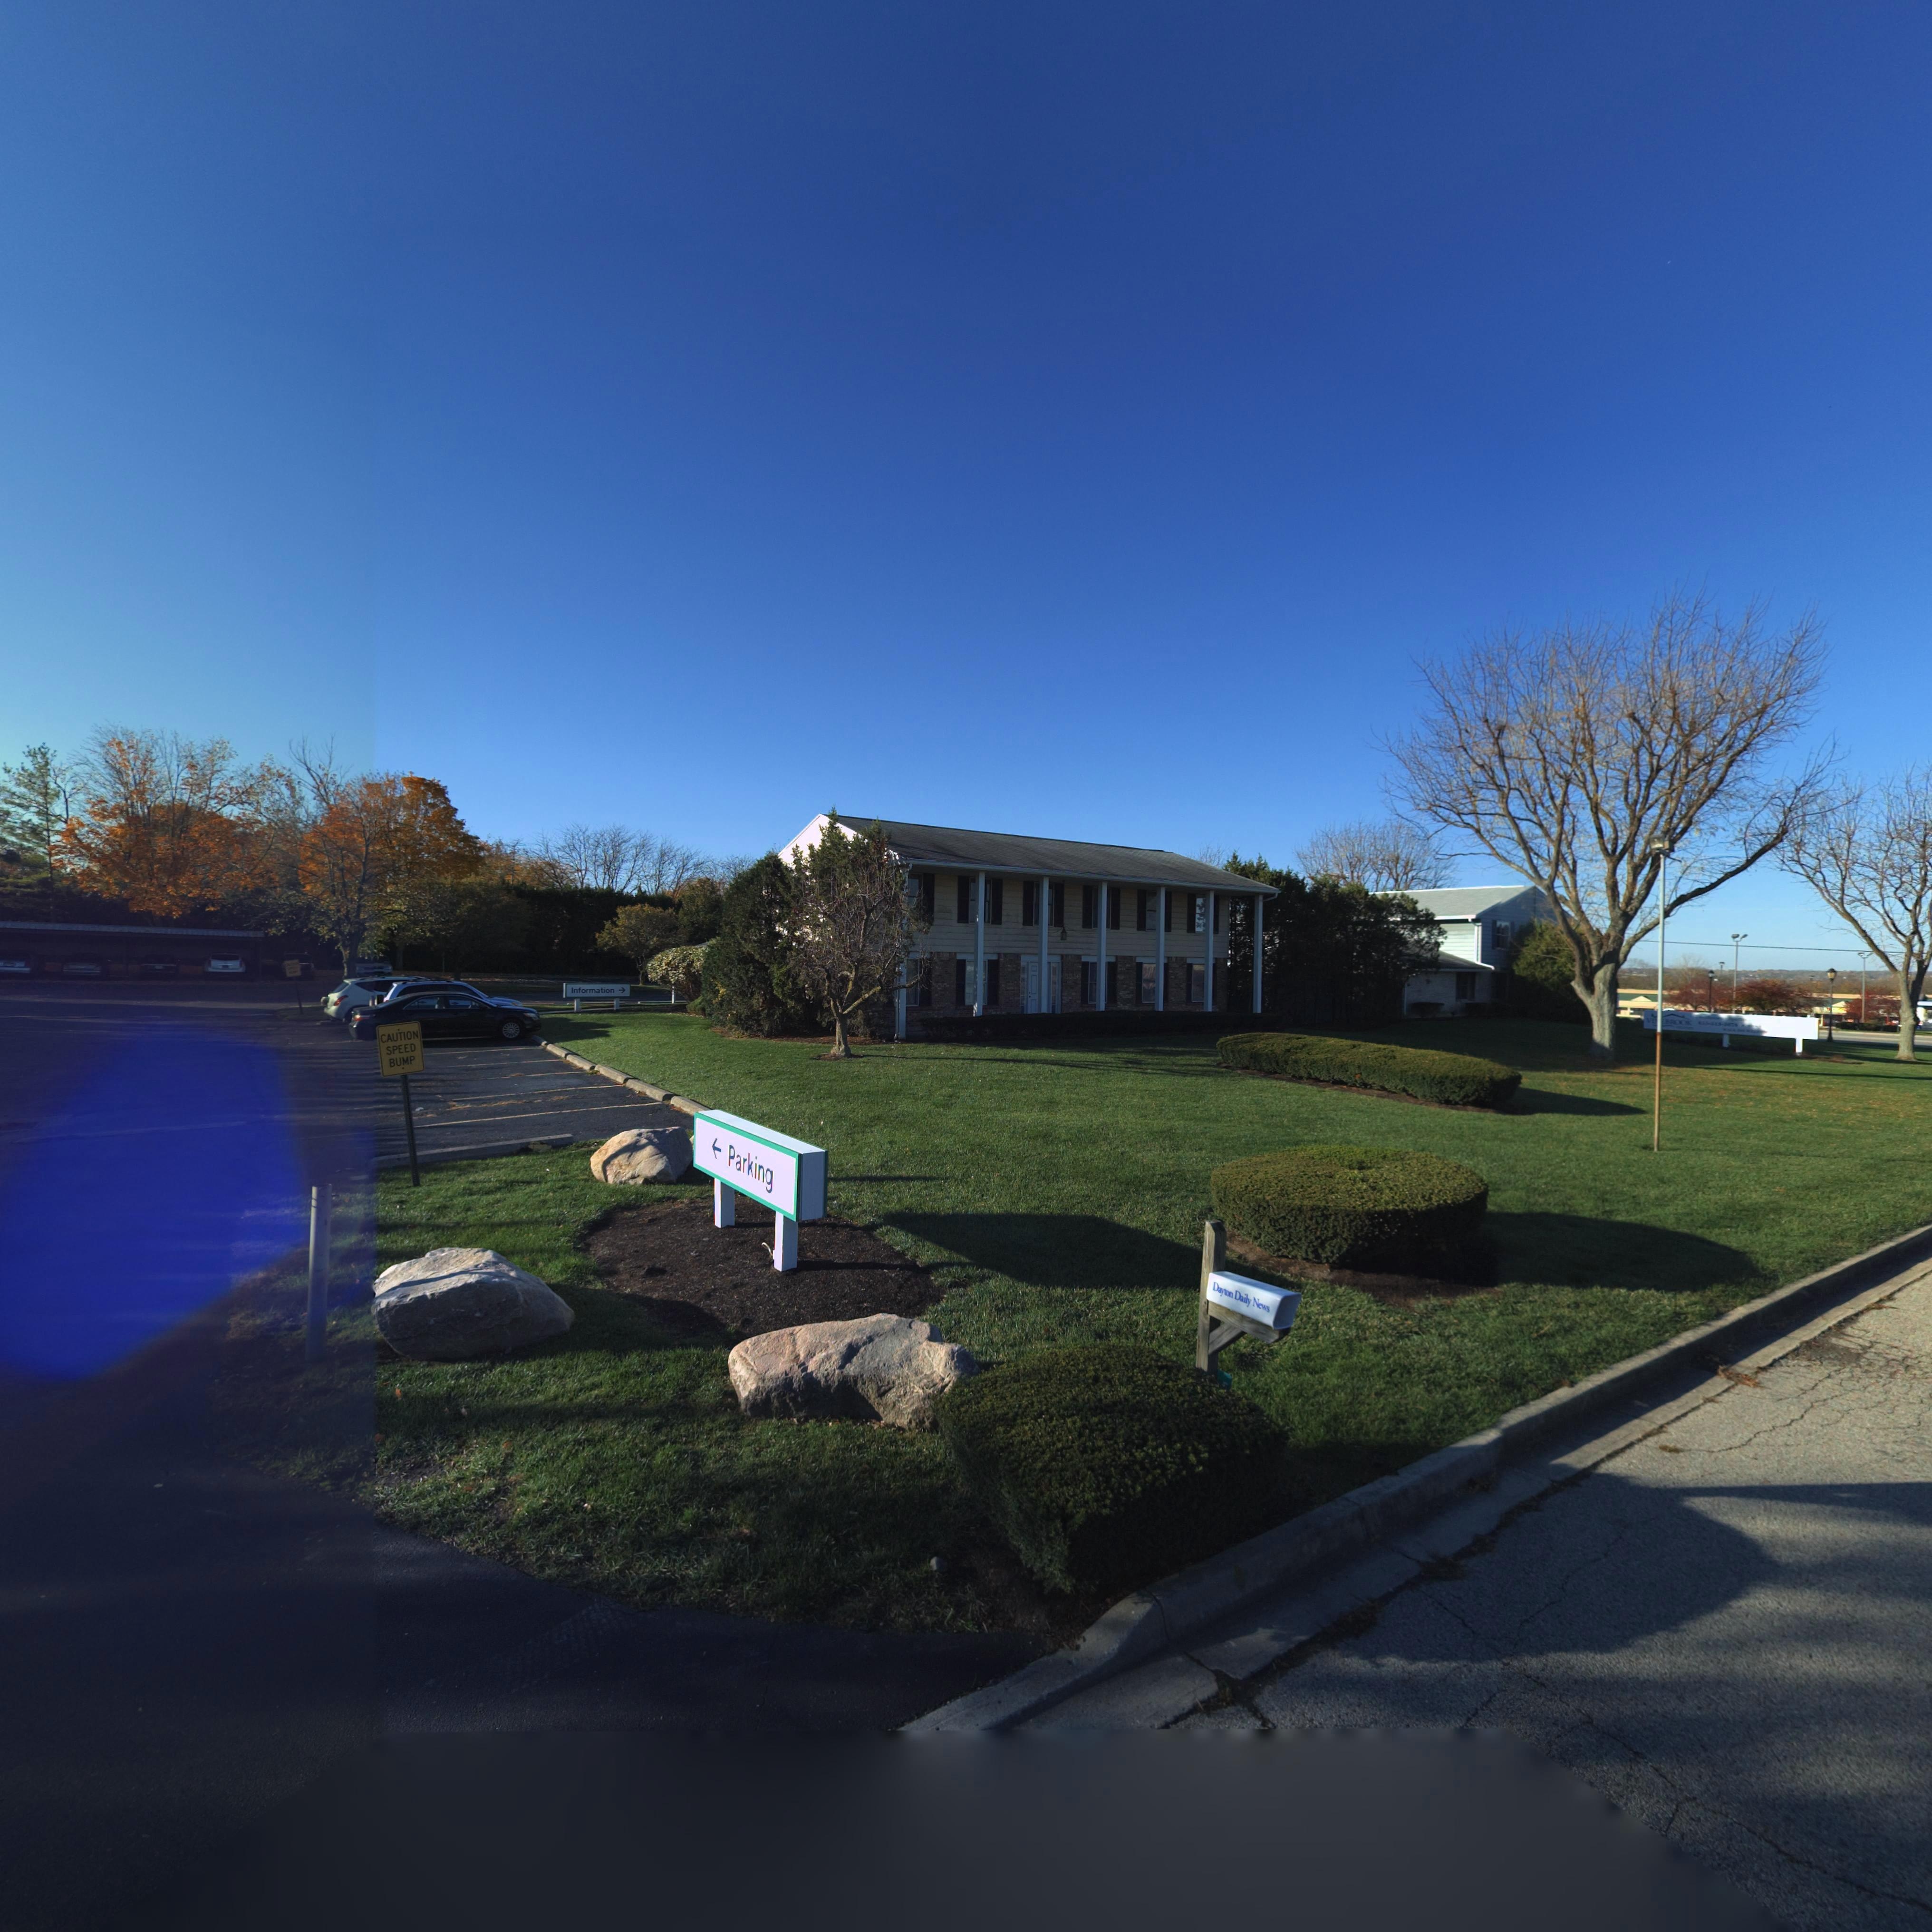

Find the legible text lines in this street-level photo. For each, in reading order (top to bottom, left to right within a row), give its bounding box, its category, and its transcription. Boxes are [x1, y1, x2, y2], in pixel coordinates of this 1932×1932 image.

[1064, 973, 1081, 980] StreetNumber: 5550